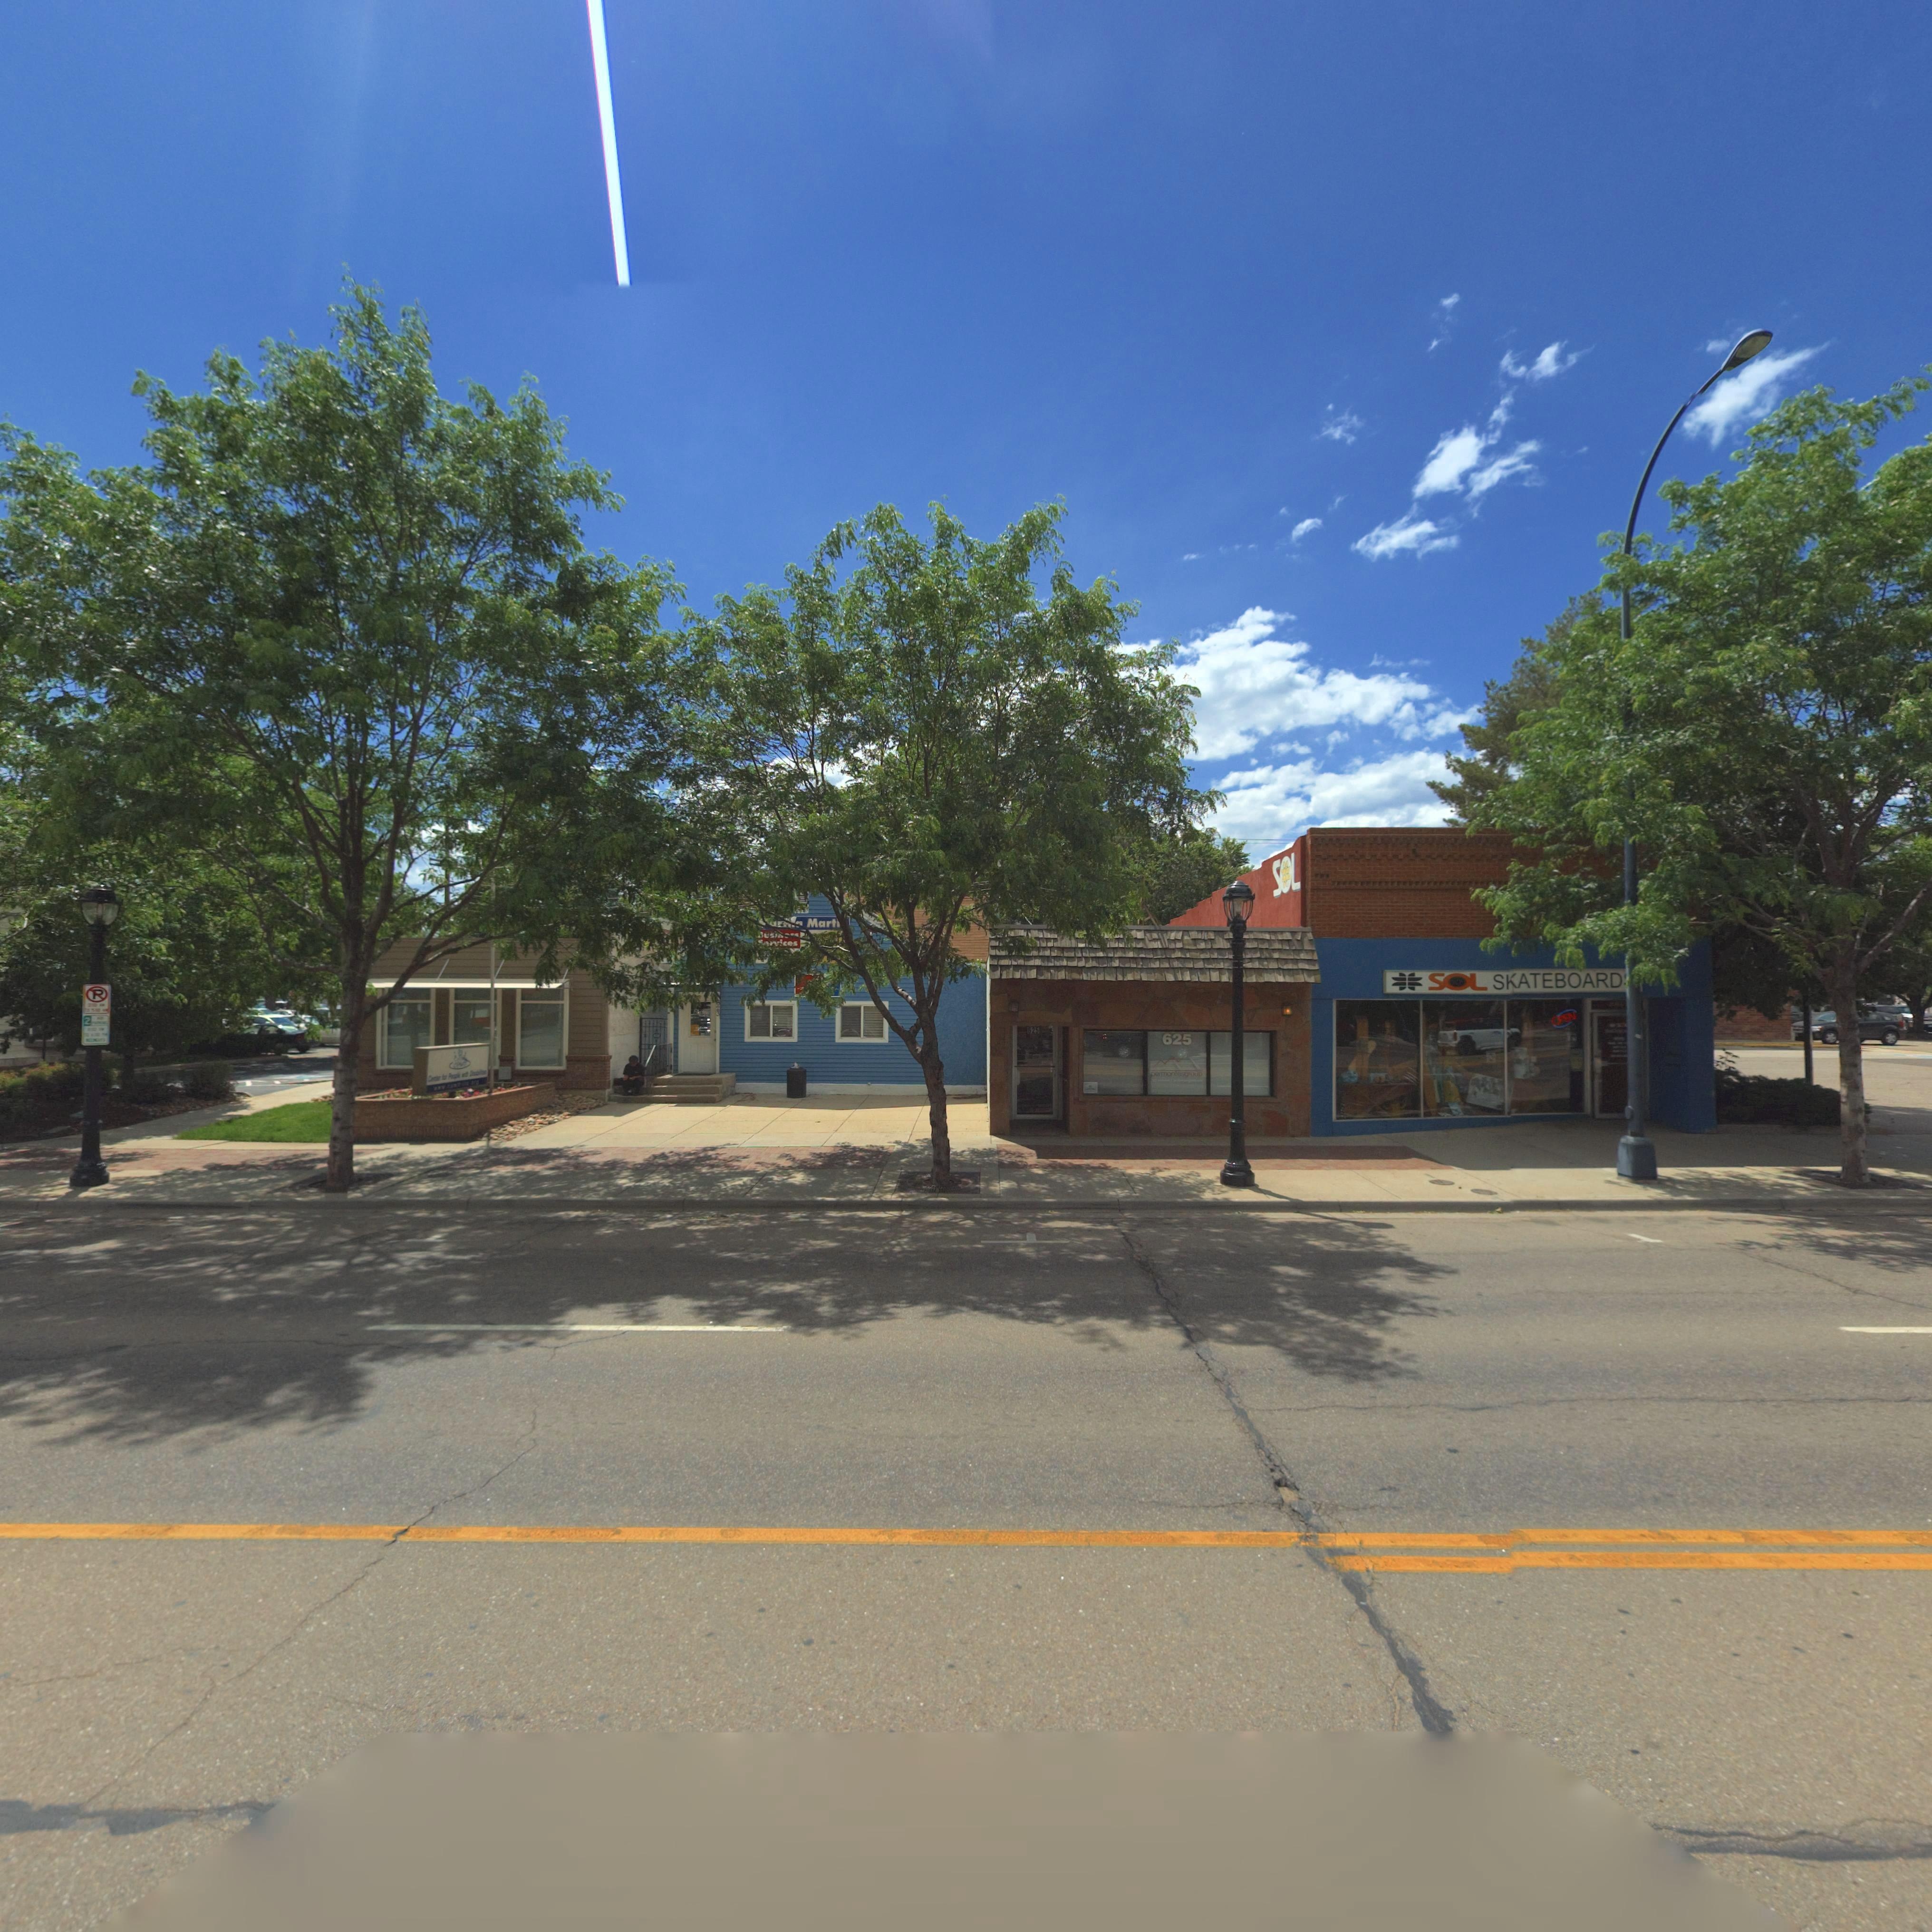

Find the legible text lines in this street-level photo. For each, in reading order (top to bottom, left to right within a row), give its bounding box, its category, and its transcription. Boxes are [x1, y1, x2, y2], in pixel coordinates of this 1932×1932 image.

[1271, 850, 1301, 899] BusinessName: SOL
[757, 917, 842, 929] BusinessName: ****** Mart*
[1426, 971, 1623, 991] BusinessName: SOL SKATEBOARD
[715, 998, 720, 1017] StreetNumber: 623
[1027, 1026, 1039, 1034] StreetNumber: 625
[1161, 1032, 1192, 1046] StreetNumber: 625
[427, 1068, 487, 1083] BusinessName: Ce**e* fo* Pe*ple **** D*s*b*******
[1150, 1070, 1203, 1079] BusinessName: permon*es group